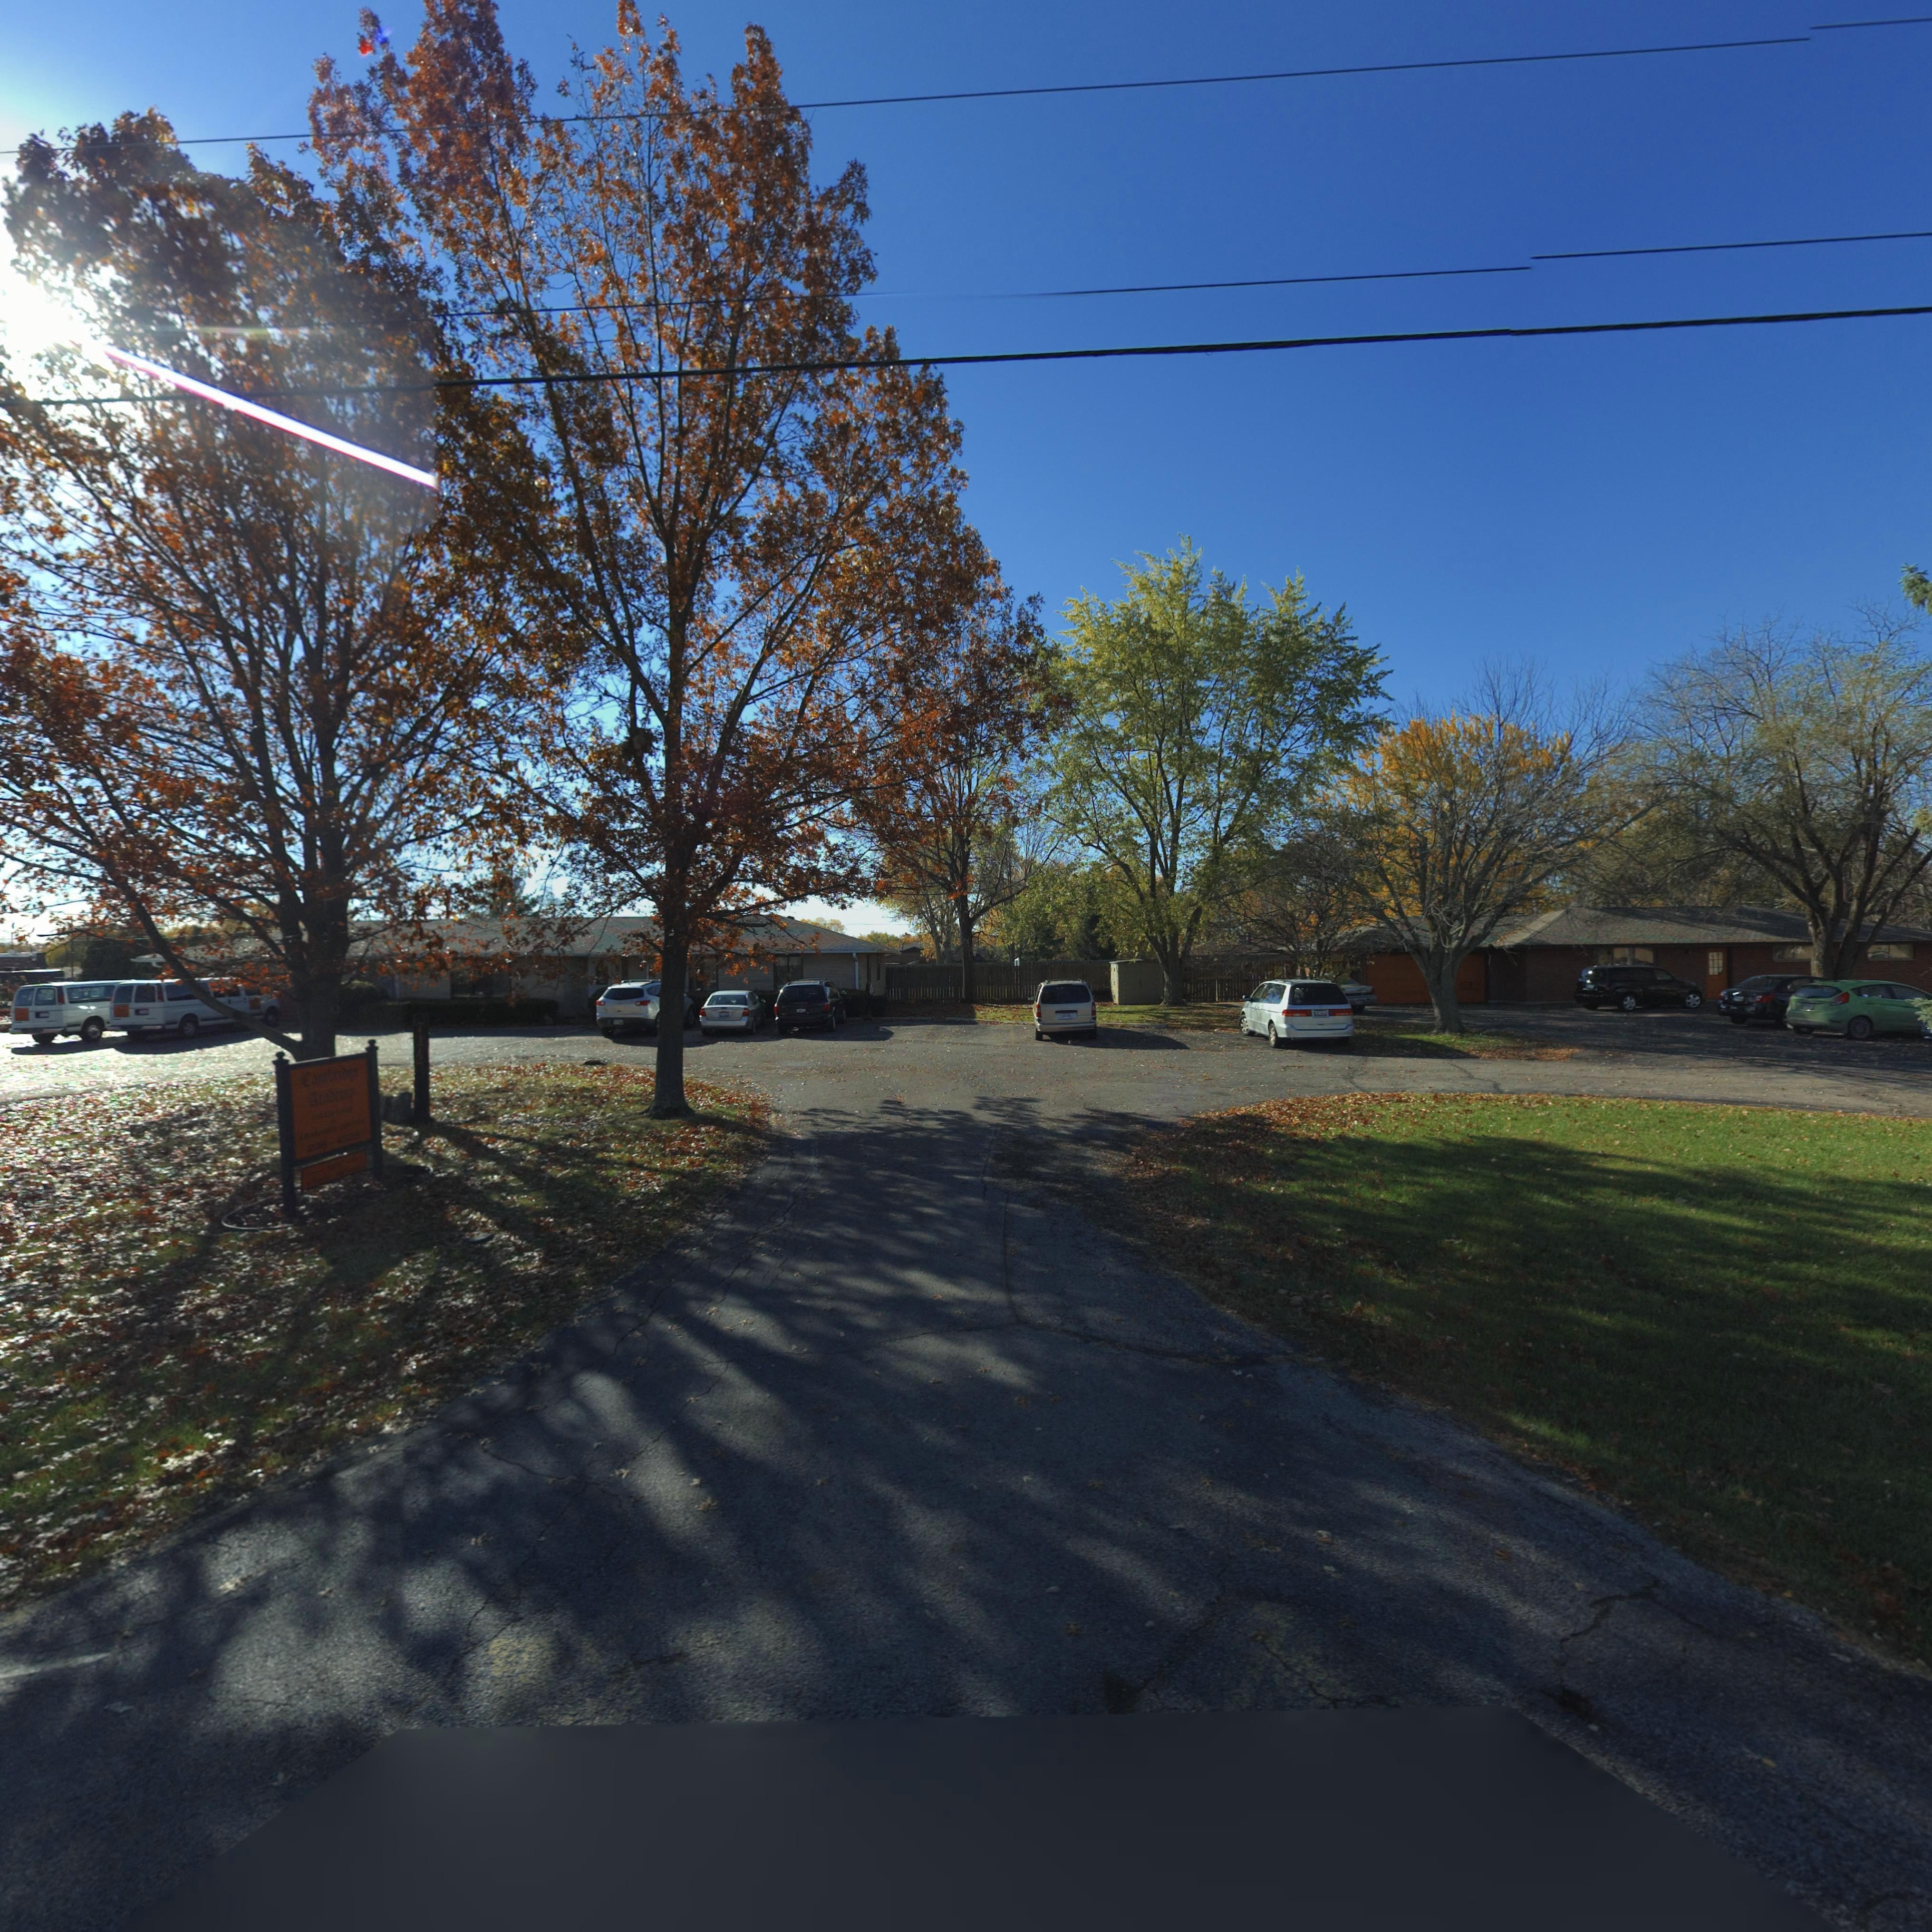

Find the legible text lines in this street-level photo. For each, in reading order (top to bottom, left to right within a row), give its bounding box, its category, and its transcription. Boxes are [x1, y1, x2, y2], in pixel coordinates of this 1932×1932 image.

[414, 1020, 425, 1066] StreetNumber: 7172
[299, 1065, 359, 1089] BusinessName: Cambridge
[307, 1087, 357, 1109] BusinessName: Academy